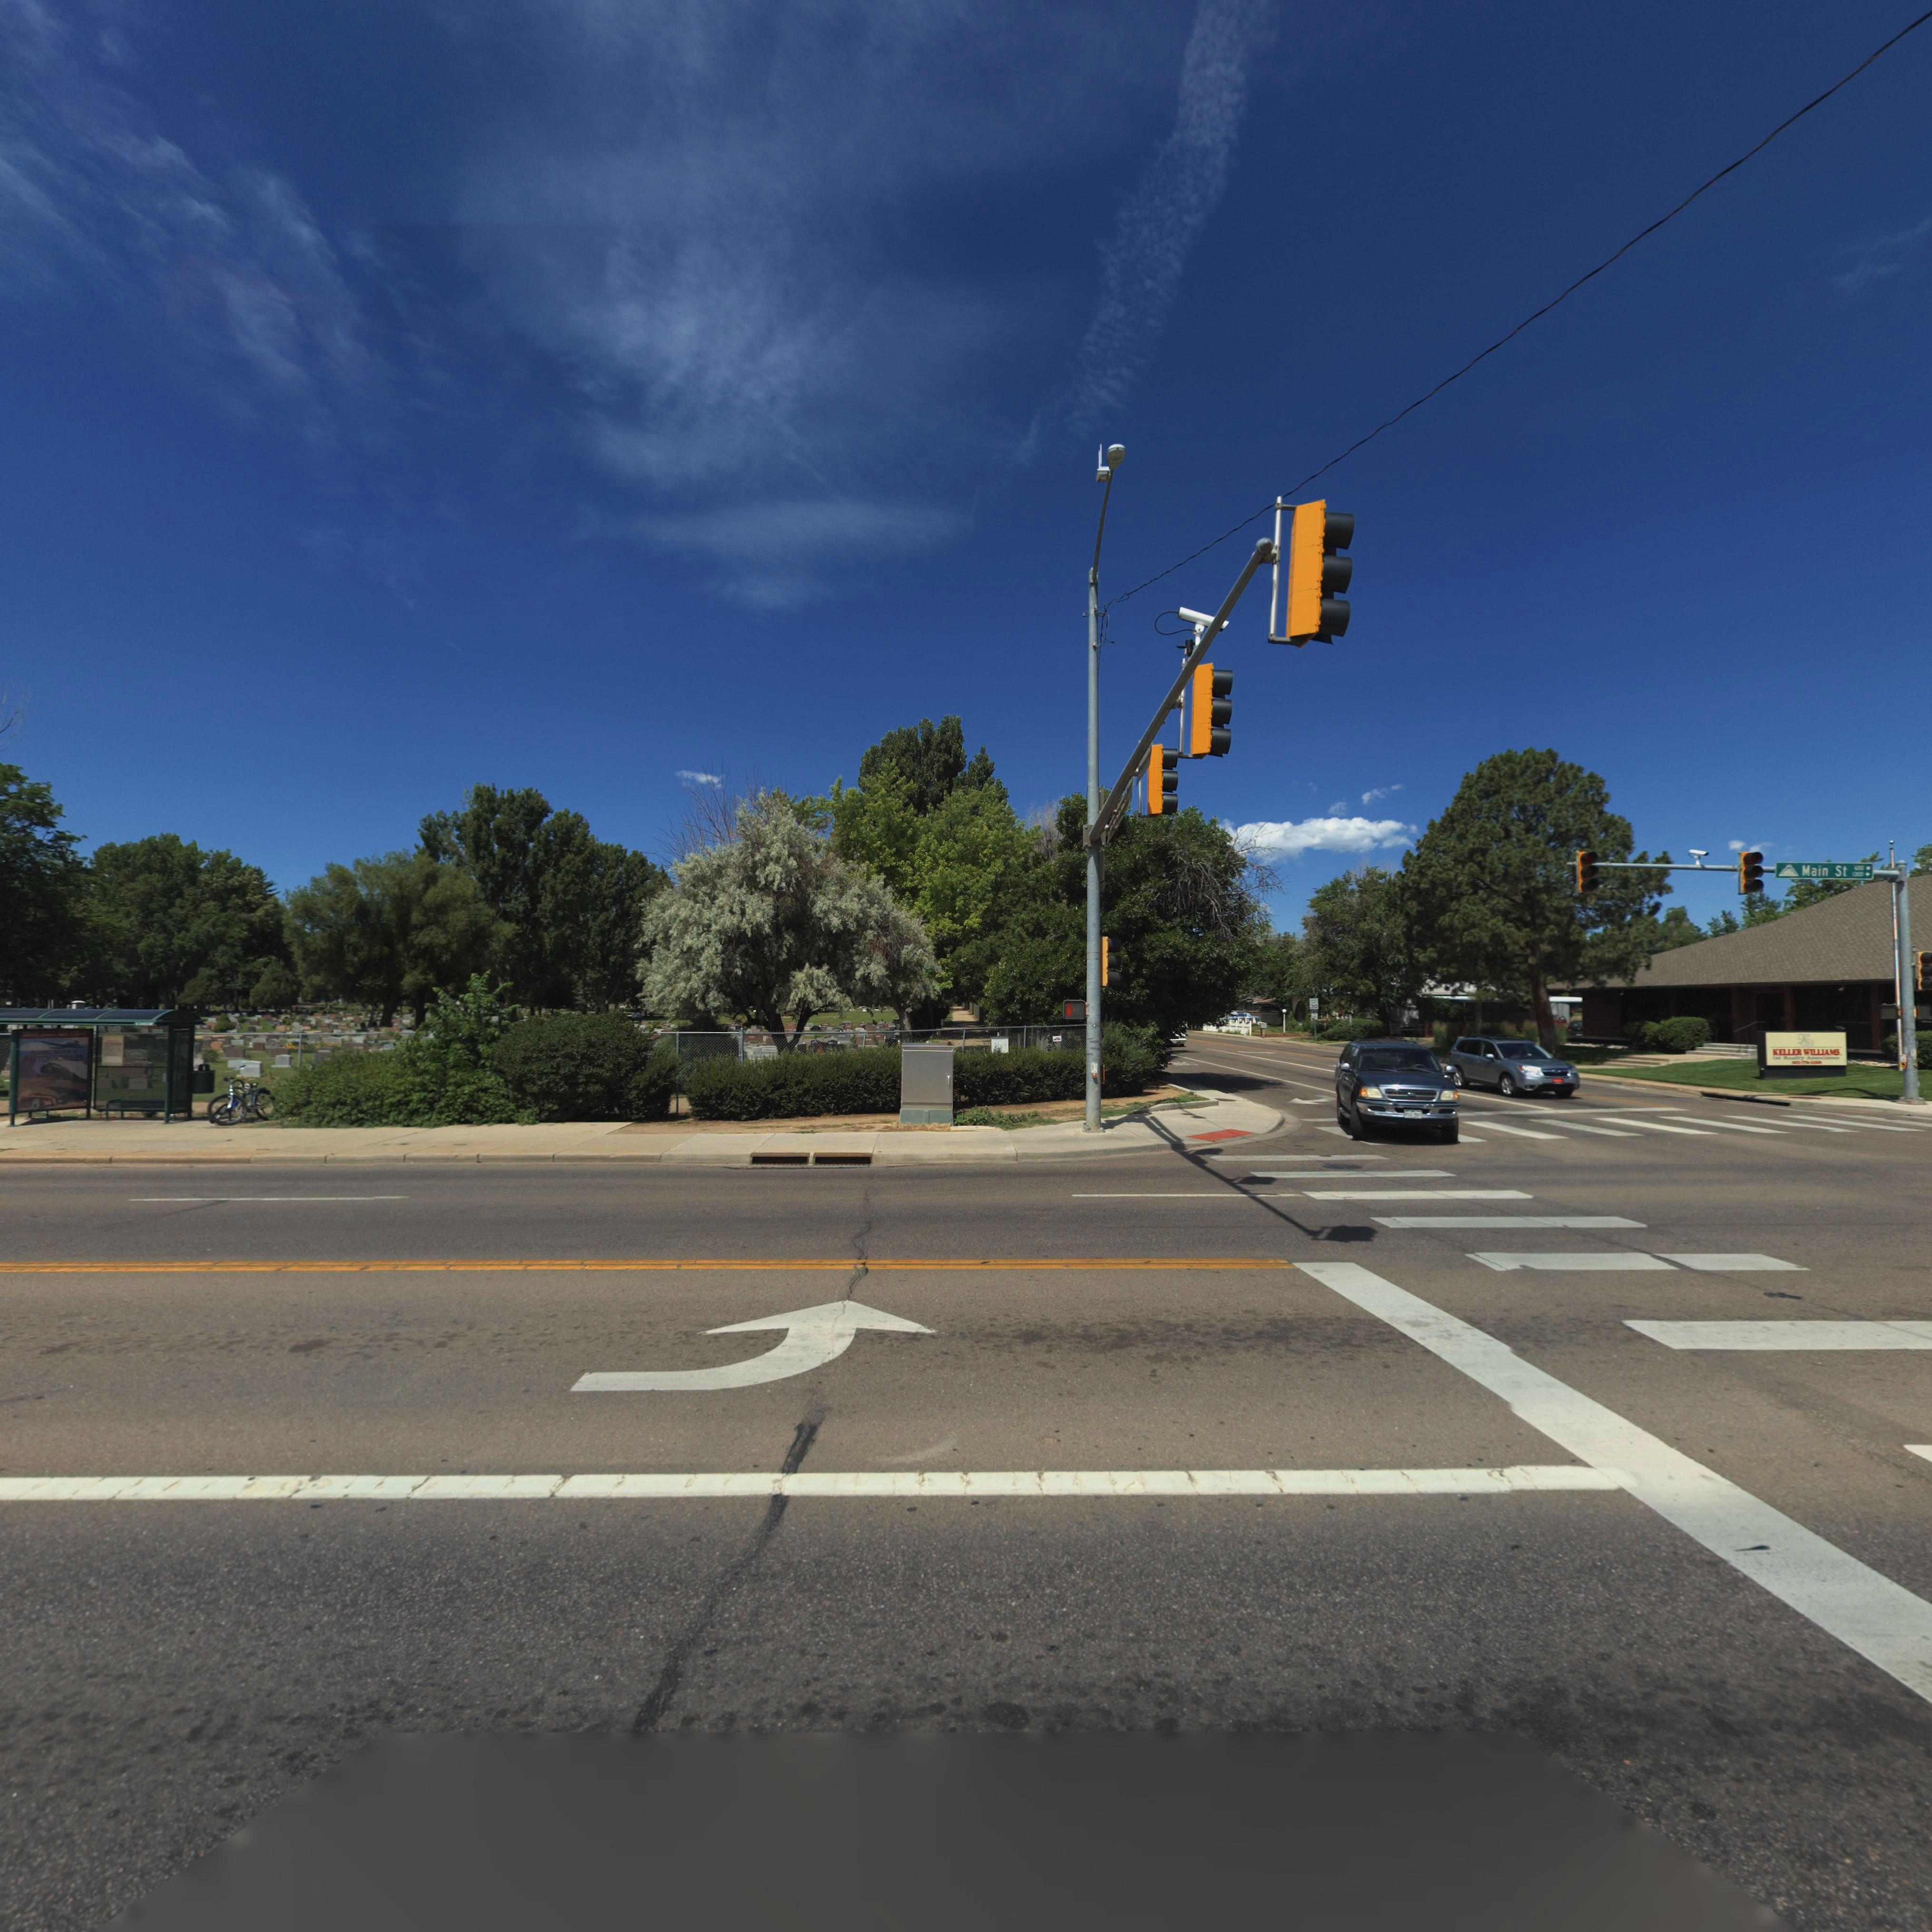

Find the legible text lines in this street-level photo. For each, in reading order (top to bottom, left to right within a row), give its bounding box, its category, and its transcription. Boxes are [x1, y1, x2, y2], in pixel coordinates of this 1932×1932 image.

[1802, 865, 1847, 876] StreetName: Main St
[1854, 864, 1864, 870] StreetNumberRange: *00
[1851, 871, 1872, 877] StreetNumberRange: *300->
[1773, 1048, 1840, 1055] BusinessName: KELLEW WILLIAMS